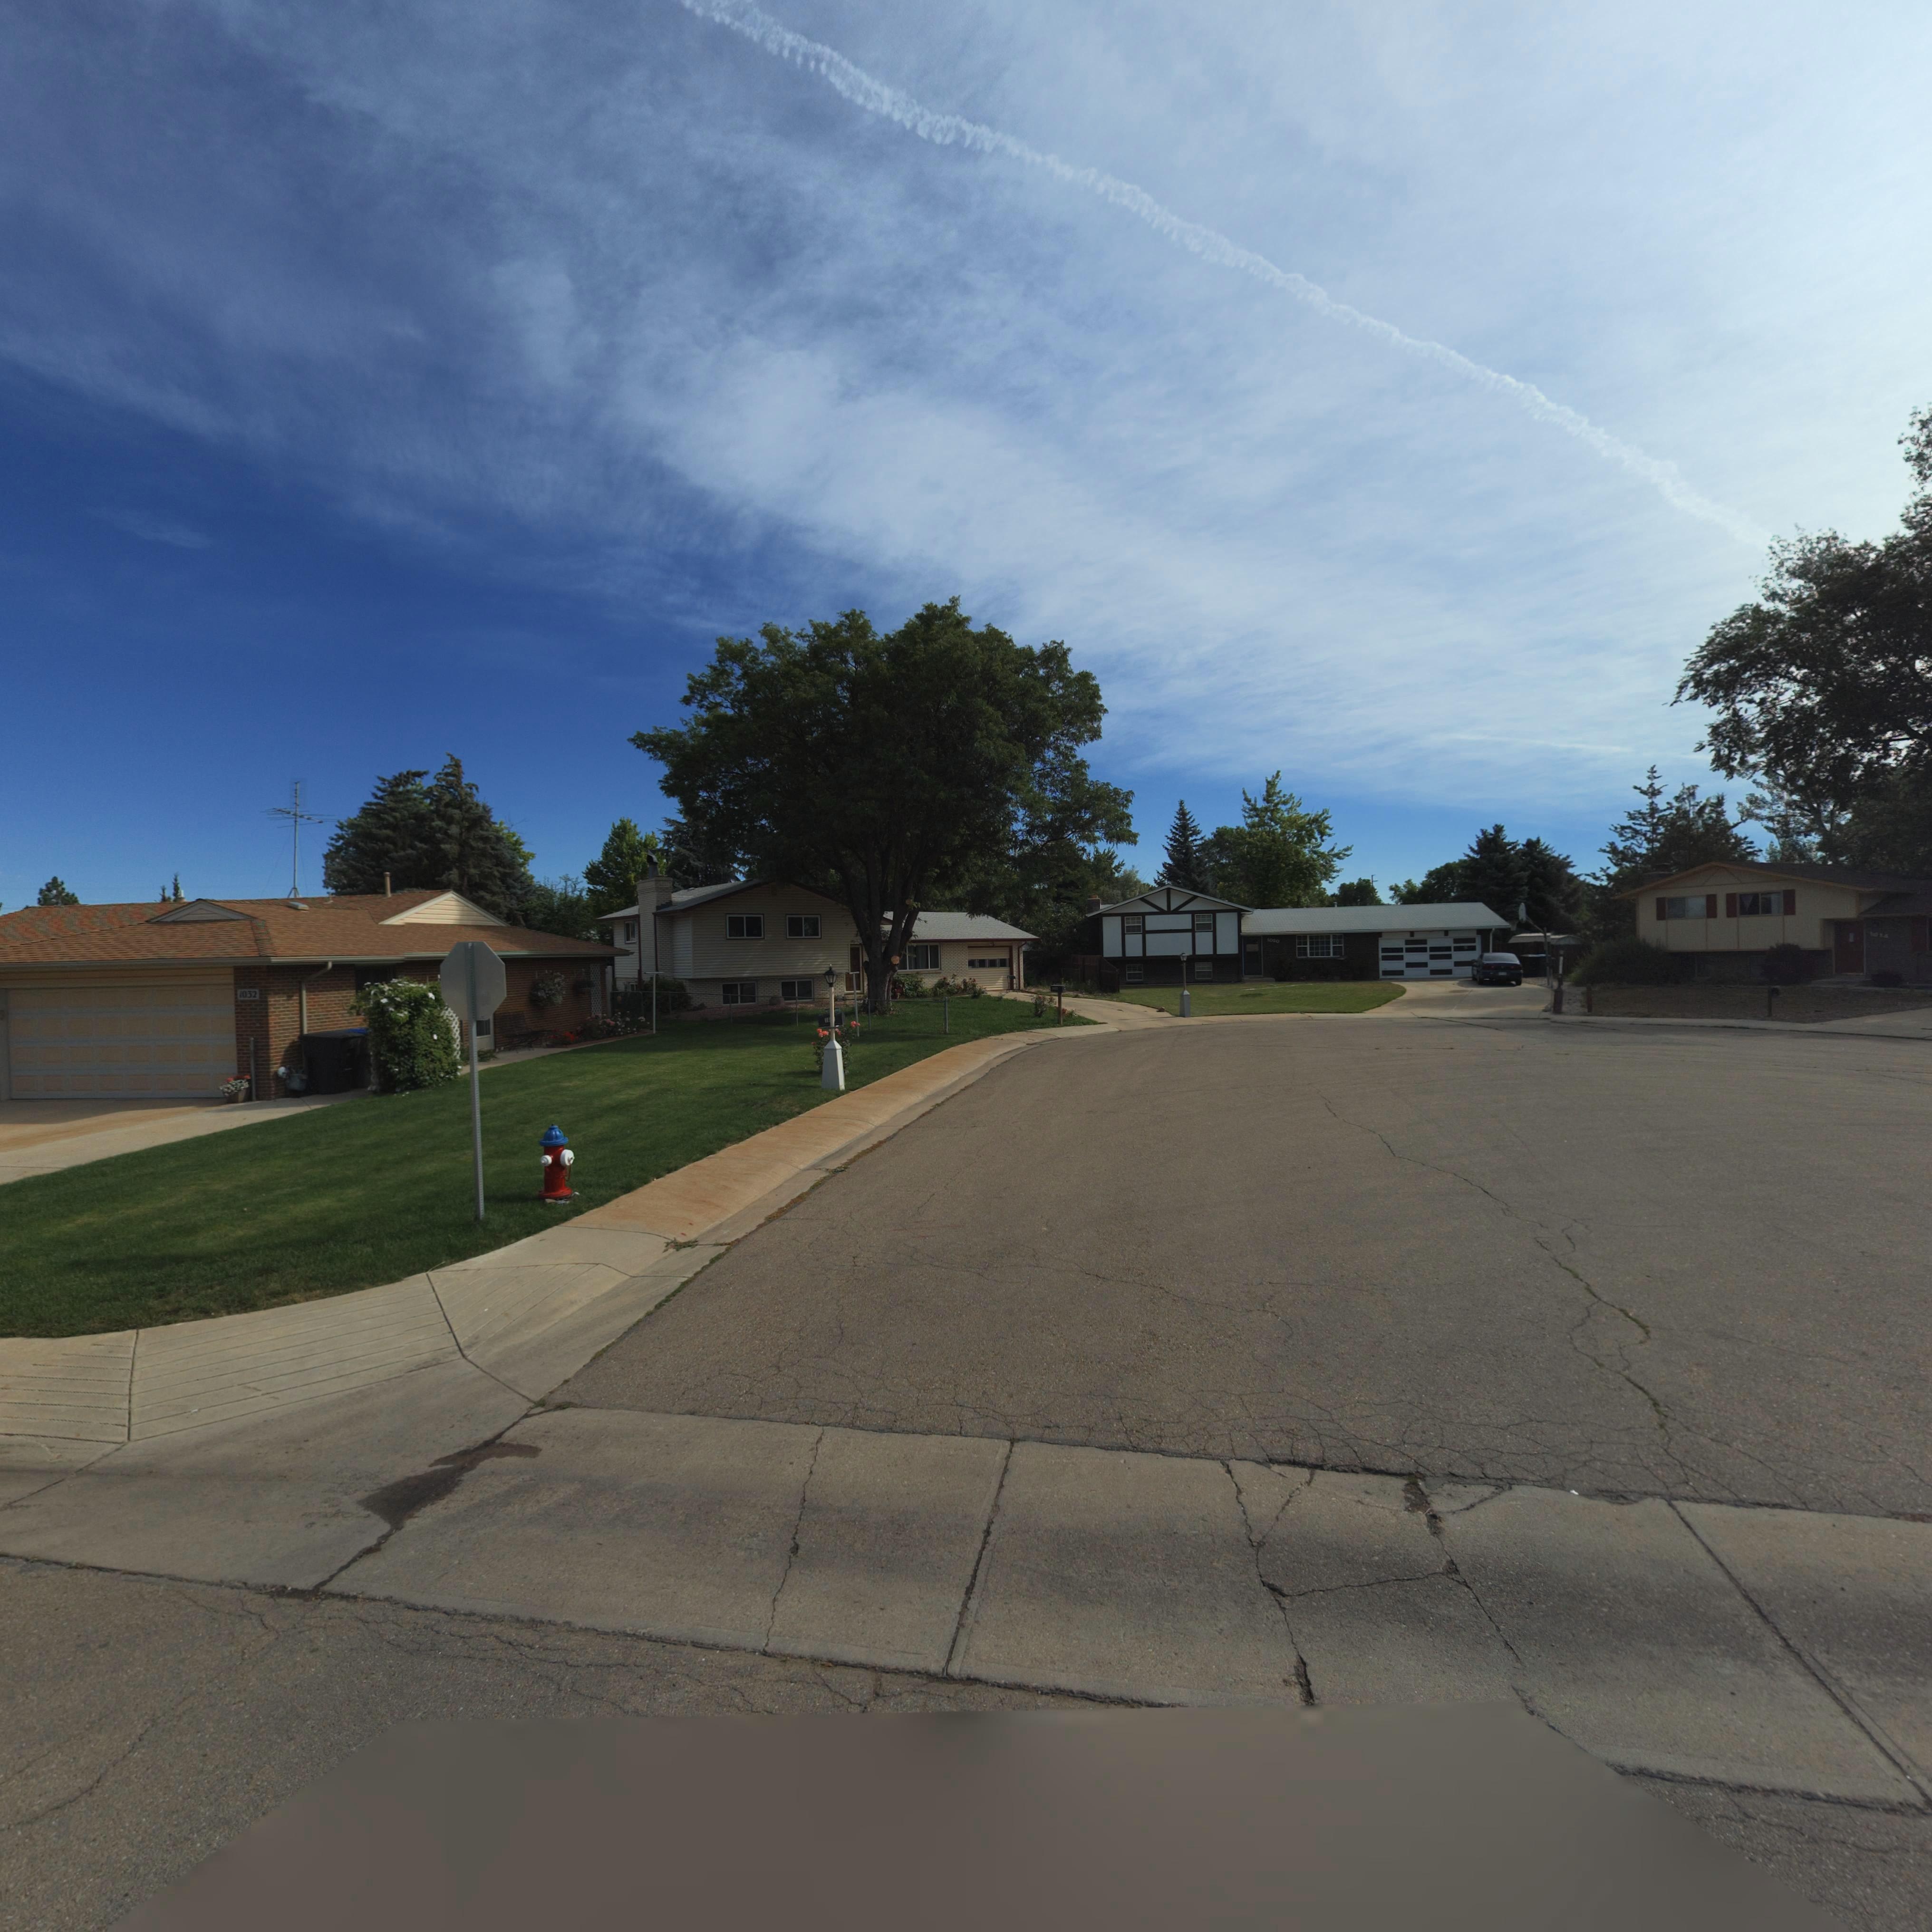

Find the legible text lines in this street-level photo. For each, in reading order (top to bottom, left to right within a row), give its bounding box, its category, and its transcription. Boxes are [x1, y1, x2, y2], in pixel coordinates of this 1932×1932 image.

[1870, 931, 1888, 938] StreetNumber: 1014
[1267, 937, 1280, 943] StreetNumber: 1020
[238, 990, 257, 998] StreetNumber: 1032
[824, 1017, 831, 1022] StreetNumber: 10